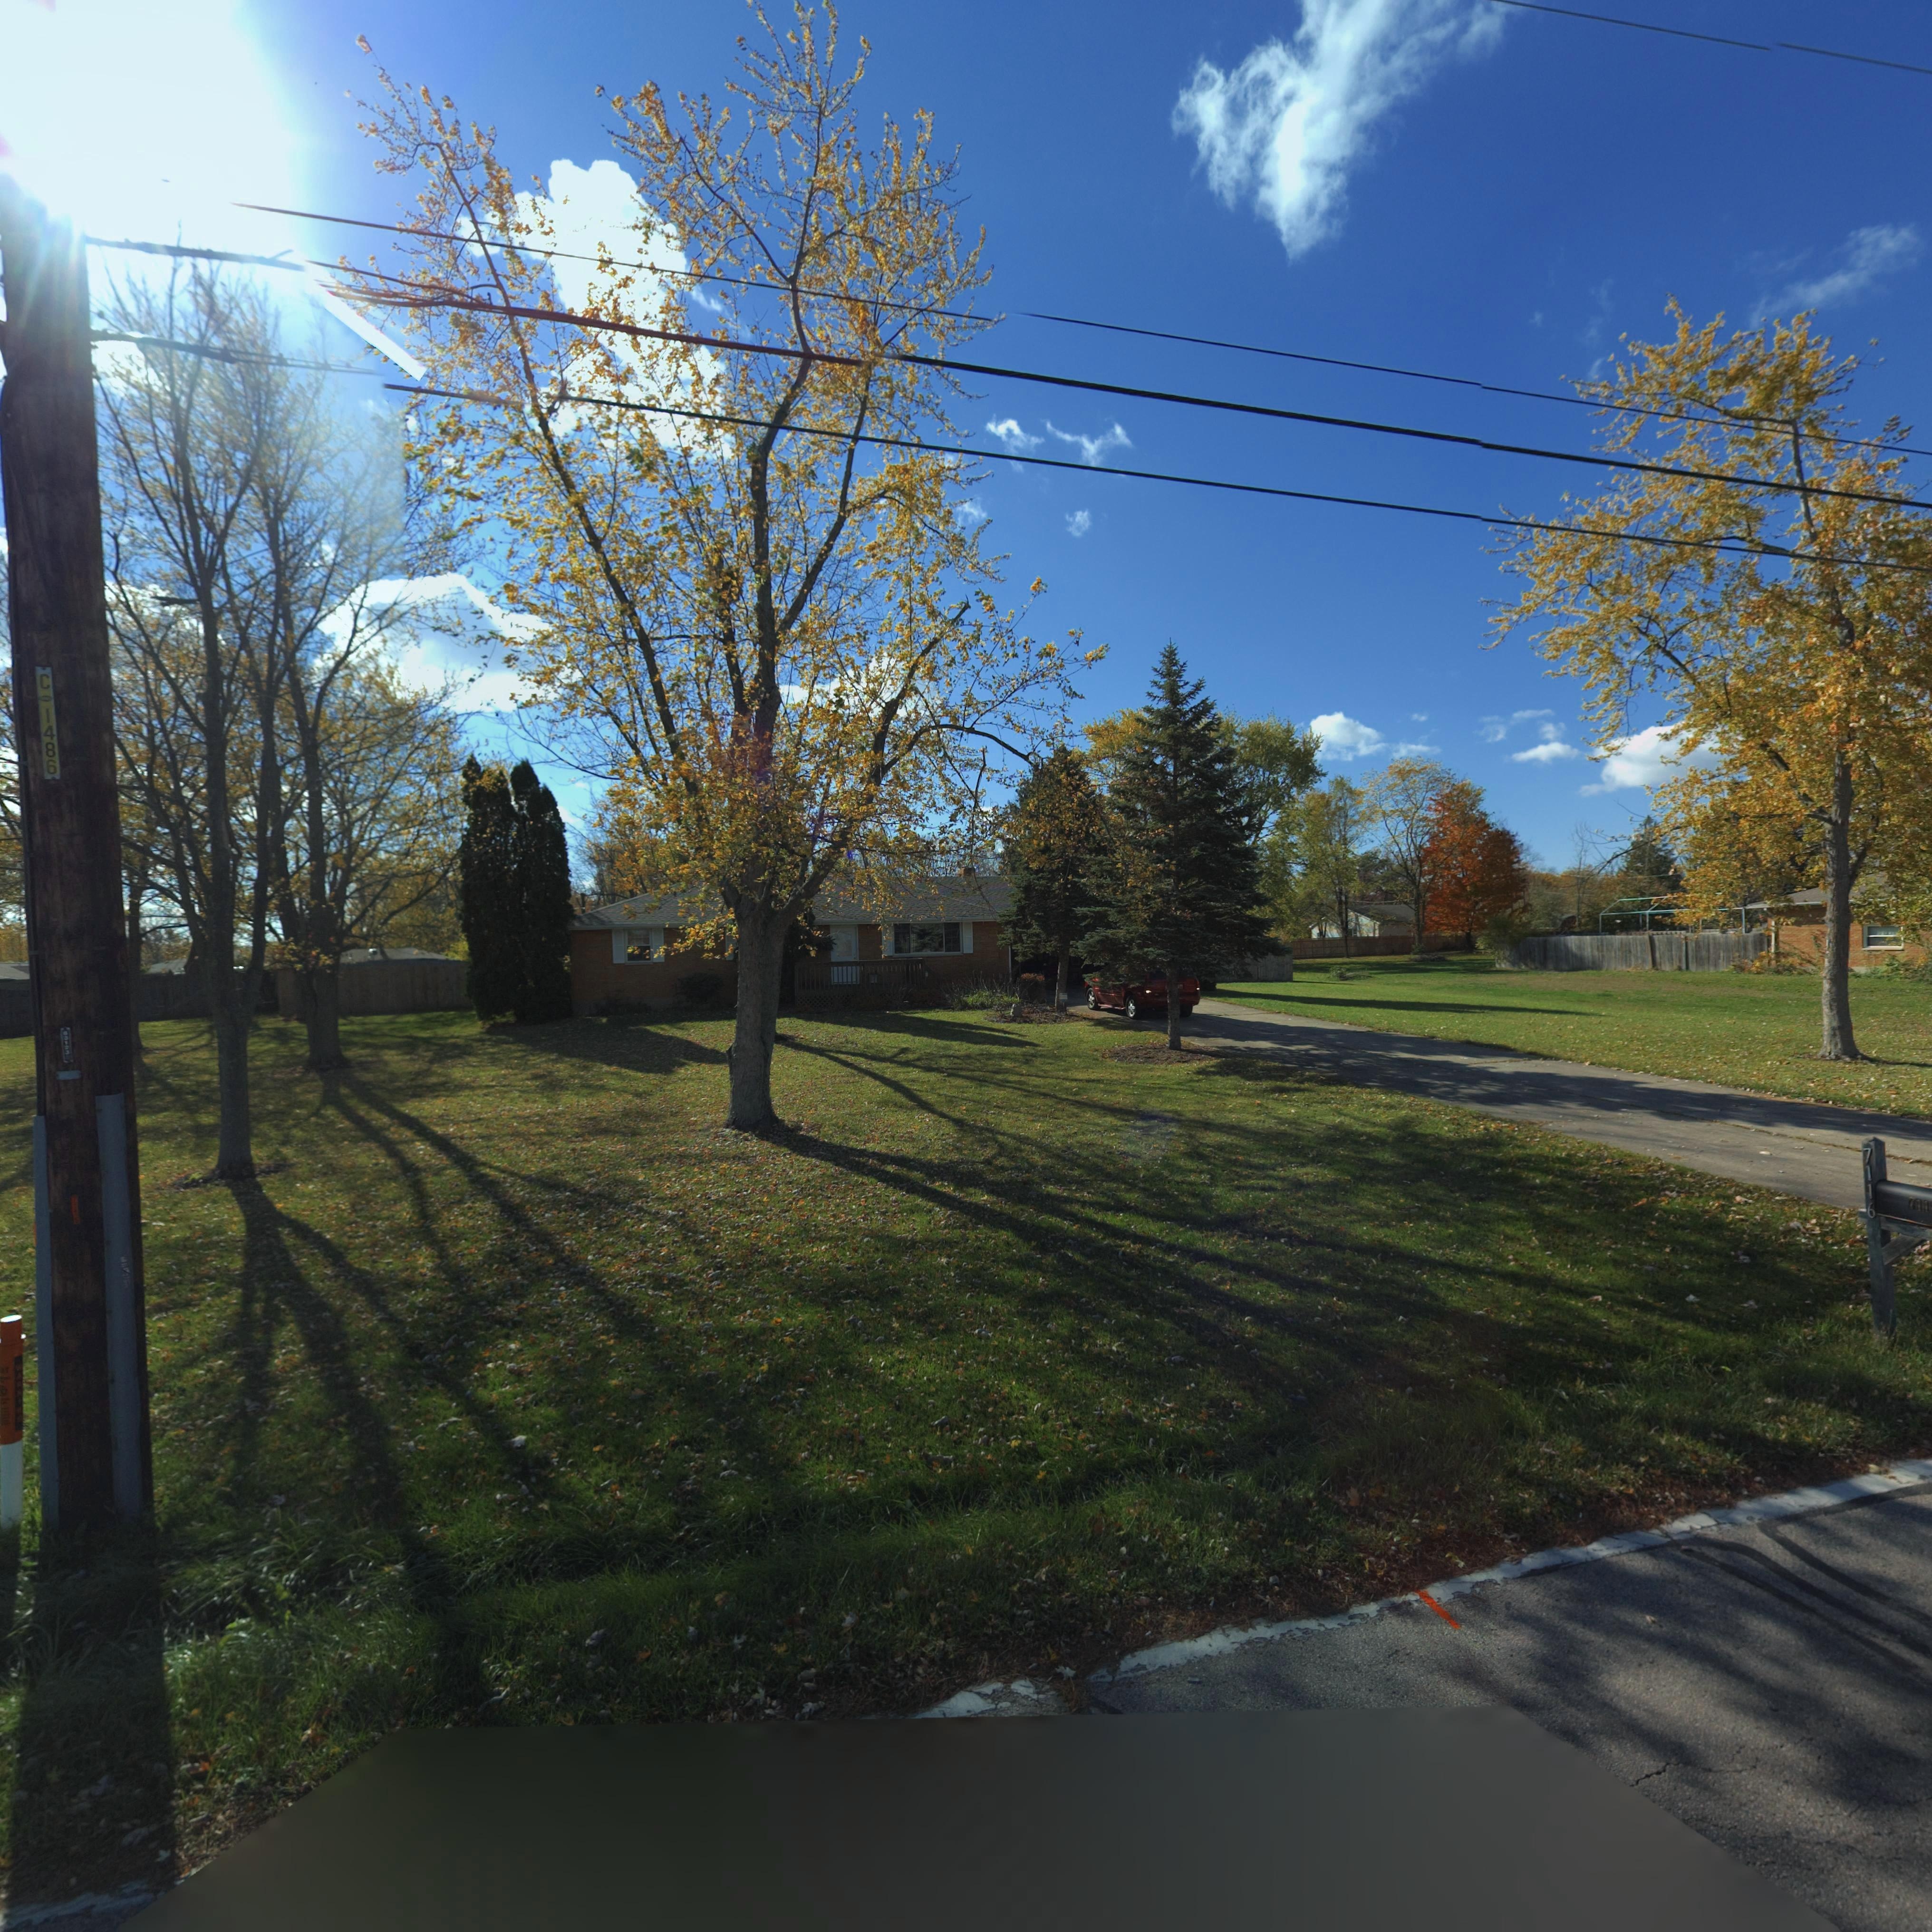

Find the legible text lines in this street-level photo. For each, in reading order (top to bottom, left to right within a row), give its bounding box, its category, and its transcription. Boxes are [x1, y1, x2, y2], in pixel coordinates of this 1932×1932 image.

[1861, 1146, 1878, 1220] StreetNumber: 7116
[1907, 1195, 1930, 1215] StreetNumber: 711